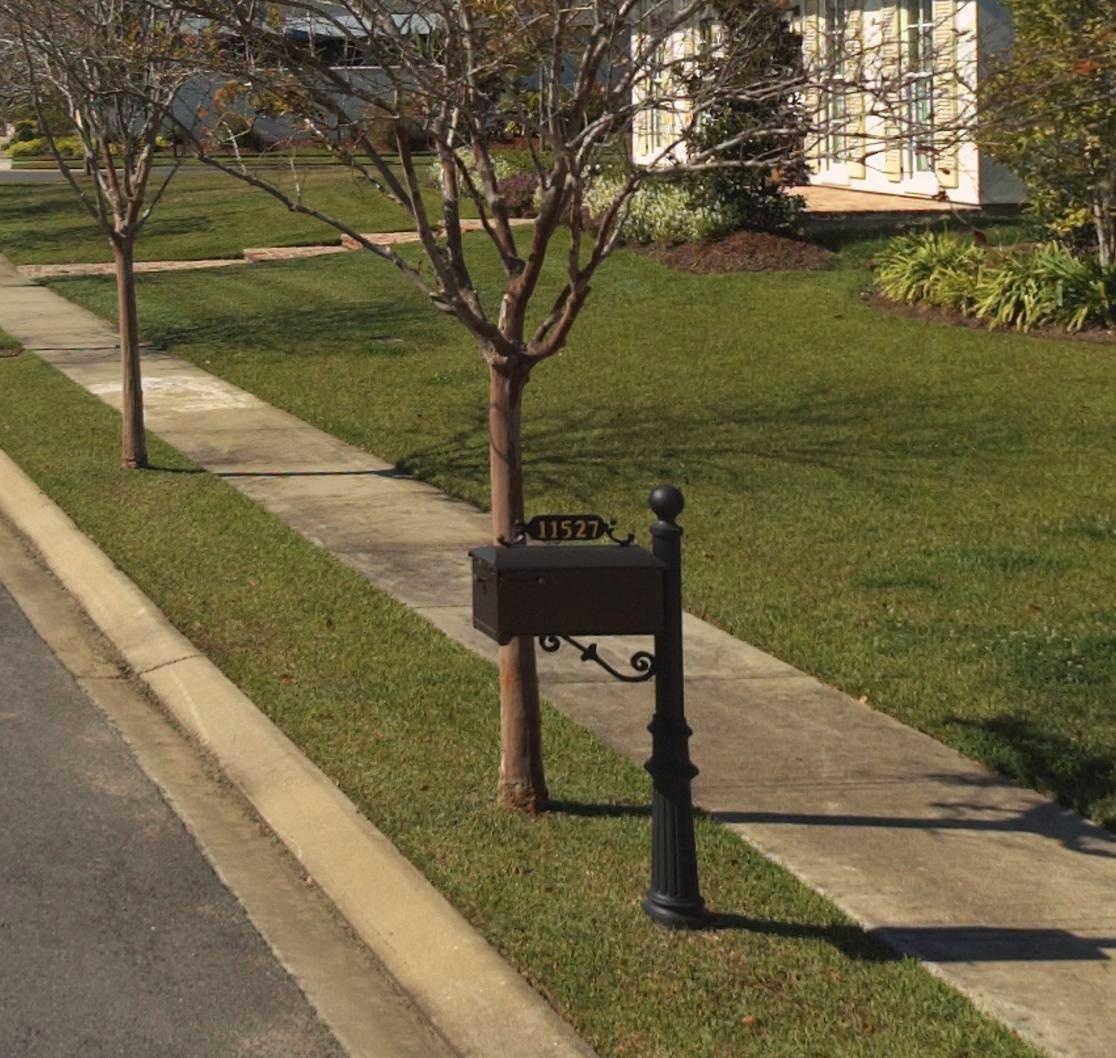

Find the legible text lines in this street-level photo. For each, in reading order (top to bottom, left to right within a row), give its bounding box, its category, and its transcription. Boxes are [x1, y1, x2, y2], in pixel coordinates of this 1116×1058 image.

[537, 519, 600, 539] StreetNumber: 11527